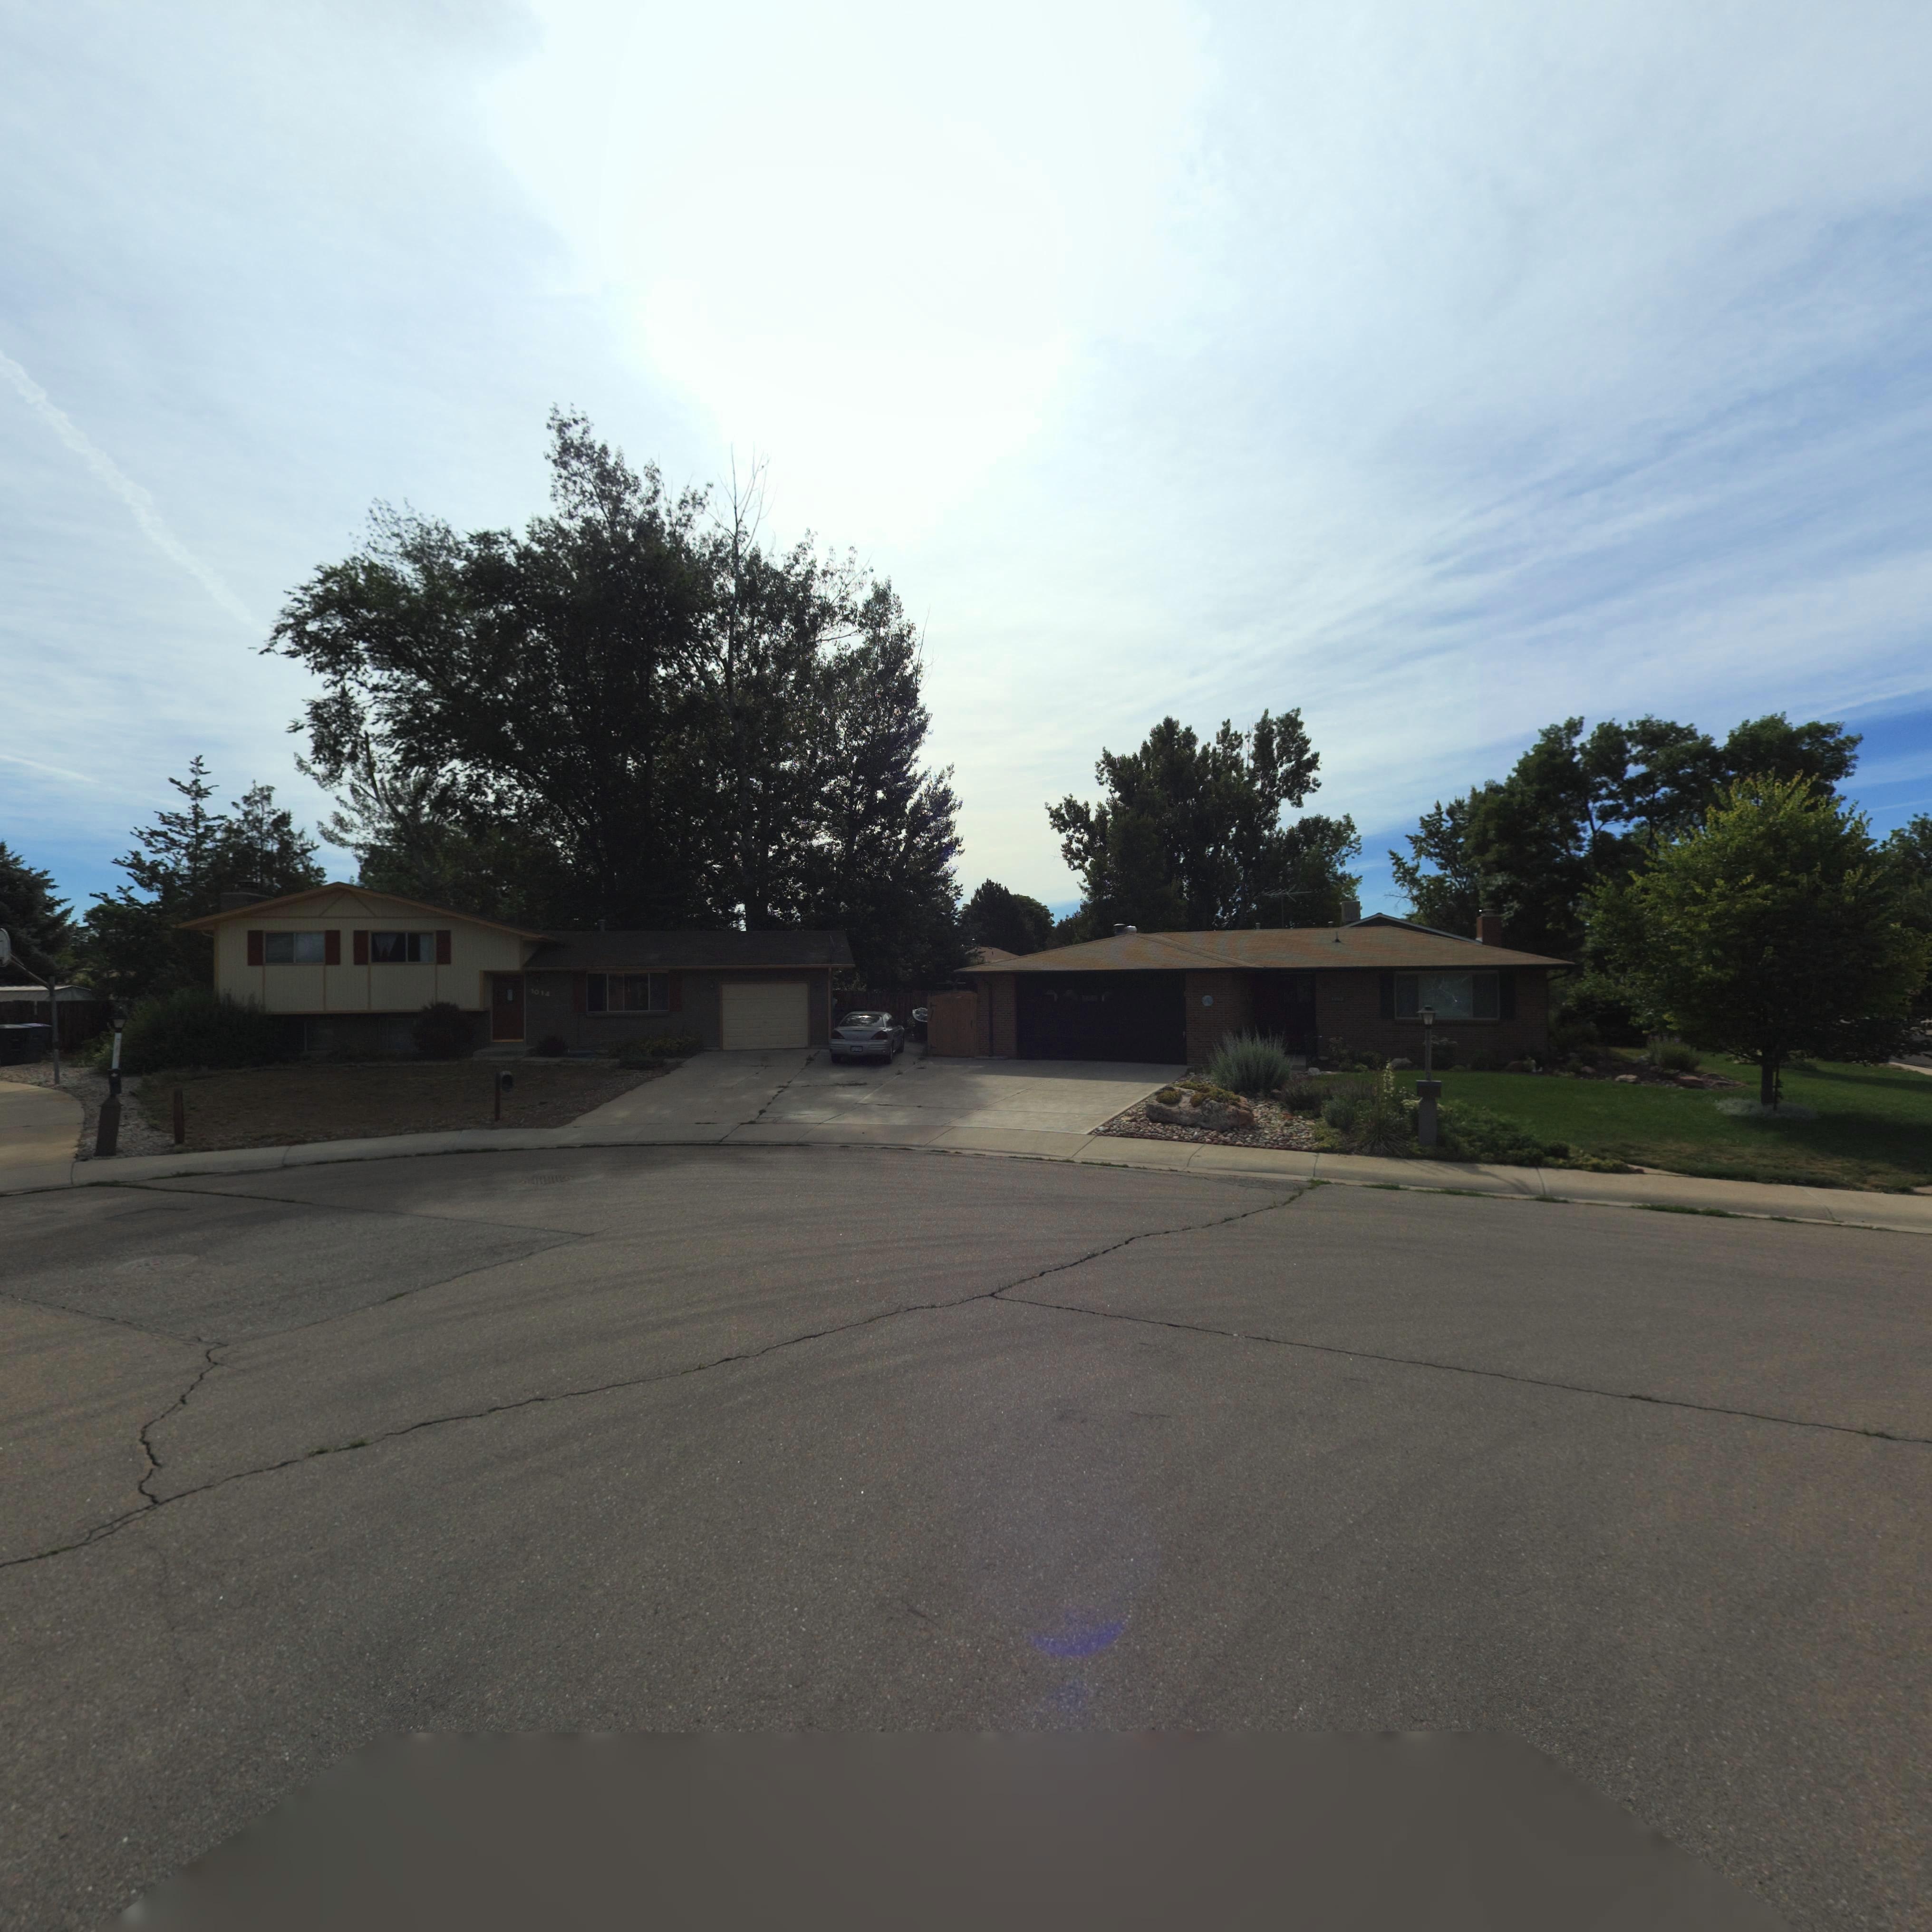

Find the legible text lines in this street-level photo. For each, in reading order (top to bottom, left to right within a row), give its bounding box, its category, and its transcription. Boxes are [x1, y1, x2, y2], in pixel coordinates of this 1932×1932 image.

[530, 988, 550, 997] StreetNumber: 1014
[1331, 996, 1344, 1002] StreetNumber: 1***